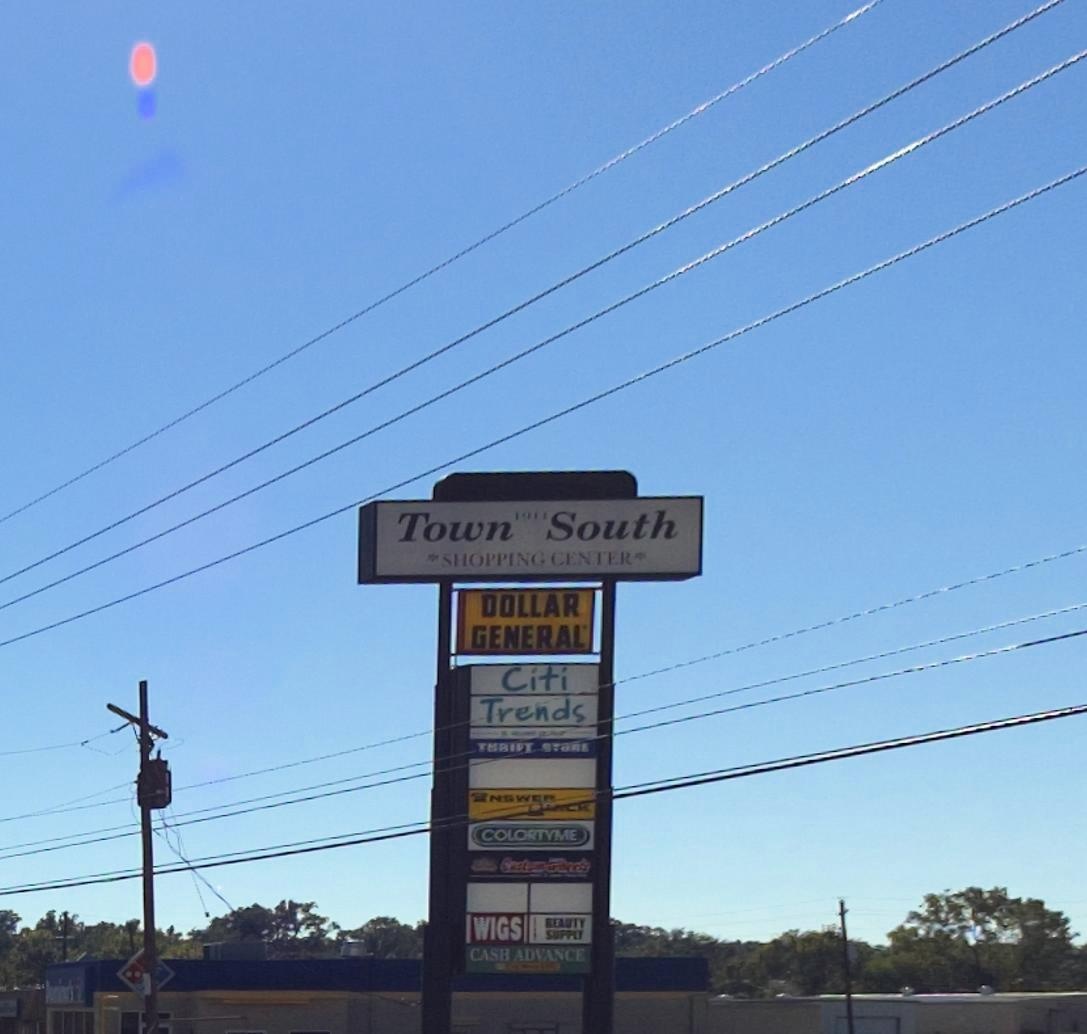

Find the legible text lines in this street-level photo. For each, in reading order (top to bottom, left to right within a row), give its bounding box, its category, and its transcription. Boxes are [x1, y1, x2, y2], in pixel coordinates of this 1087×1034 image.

[513, 510, 548, 521] StreetNumber: 1911
[397, 511, 681, 541] None: Town South
[441, 551, 633, 569] None: SHOPPING CENTER
[480, 592, 580, 618] BusinessName: DOLLAR
[471, 624, 586, 650] BusinessName: GENERAL
[500, 664, 568, 692] BusinessName: Citi
[479, 695, 587, 724] BusinessName: Trends
[476, 742, 590, 753] None: THRIFT STORE
[490, 793, 554, 801] BusinessName: NSWER
[482, 828, 579, 842] BusinessName: COLORTYME
[472, 916, 523, 941] BusinessName: WIGS
[544, 929, 584, 941] None: SUPPLY
[544, 917, 587, 928] None: BEAUTY
[469, 947, 588, 962] BusinessName: CASH ADVANCE